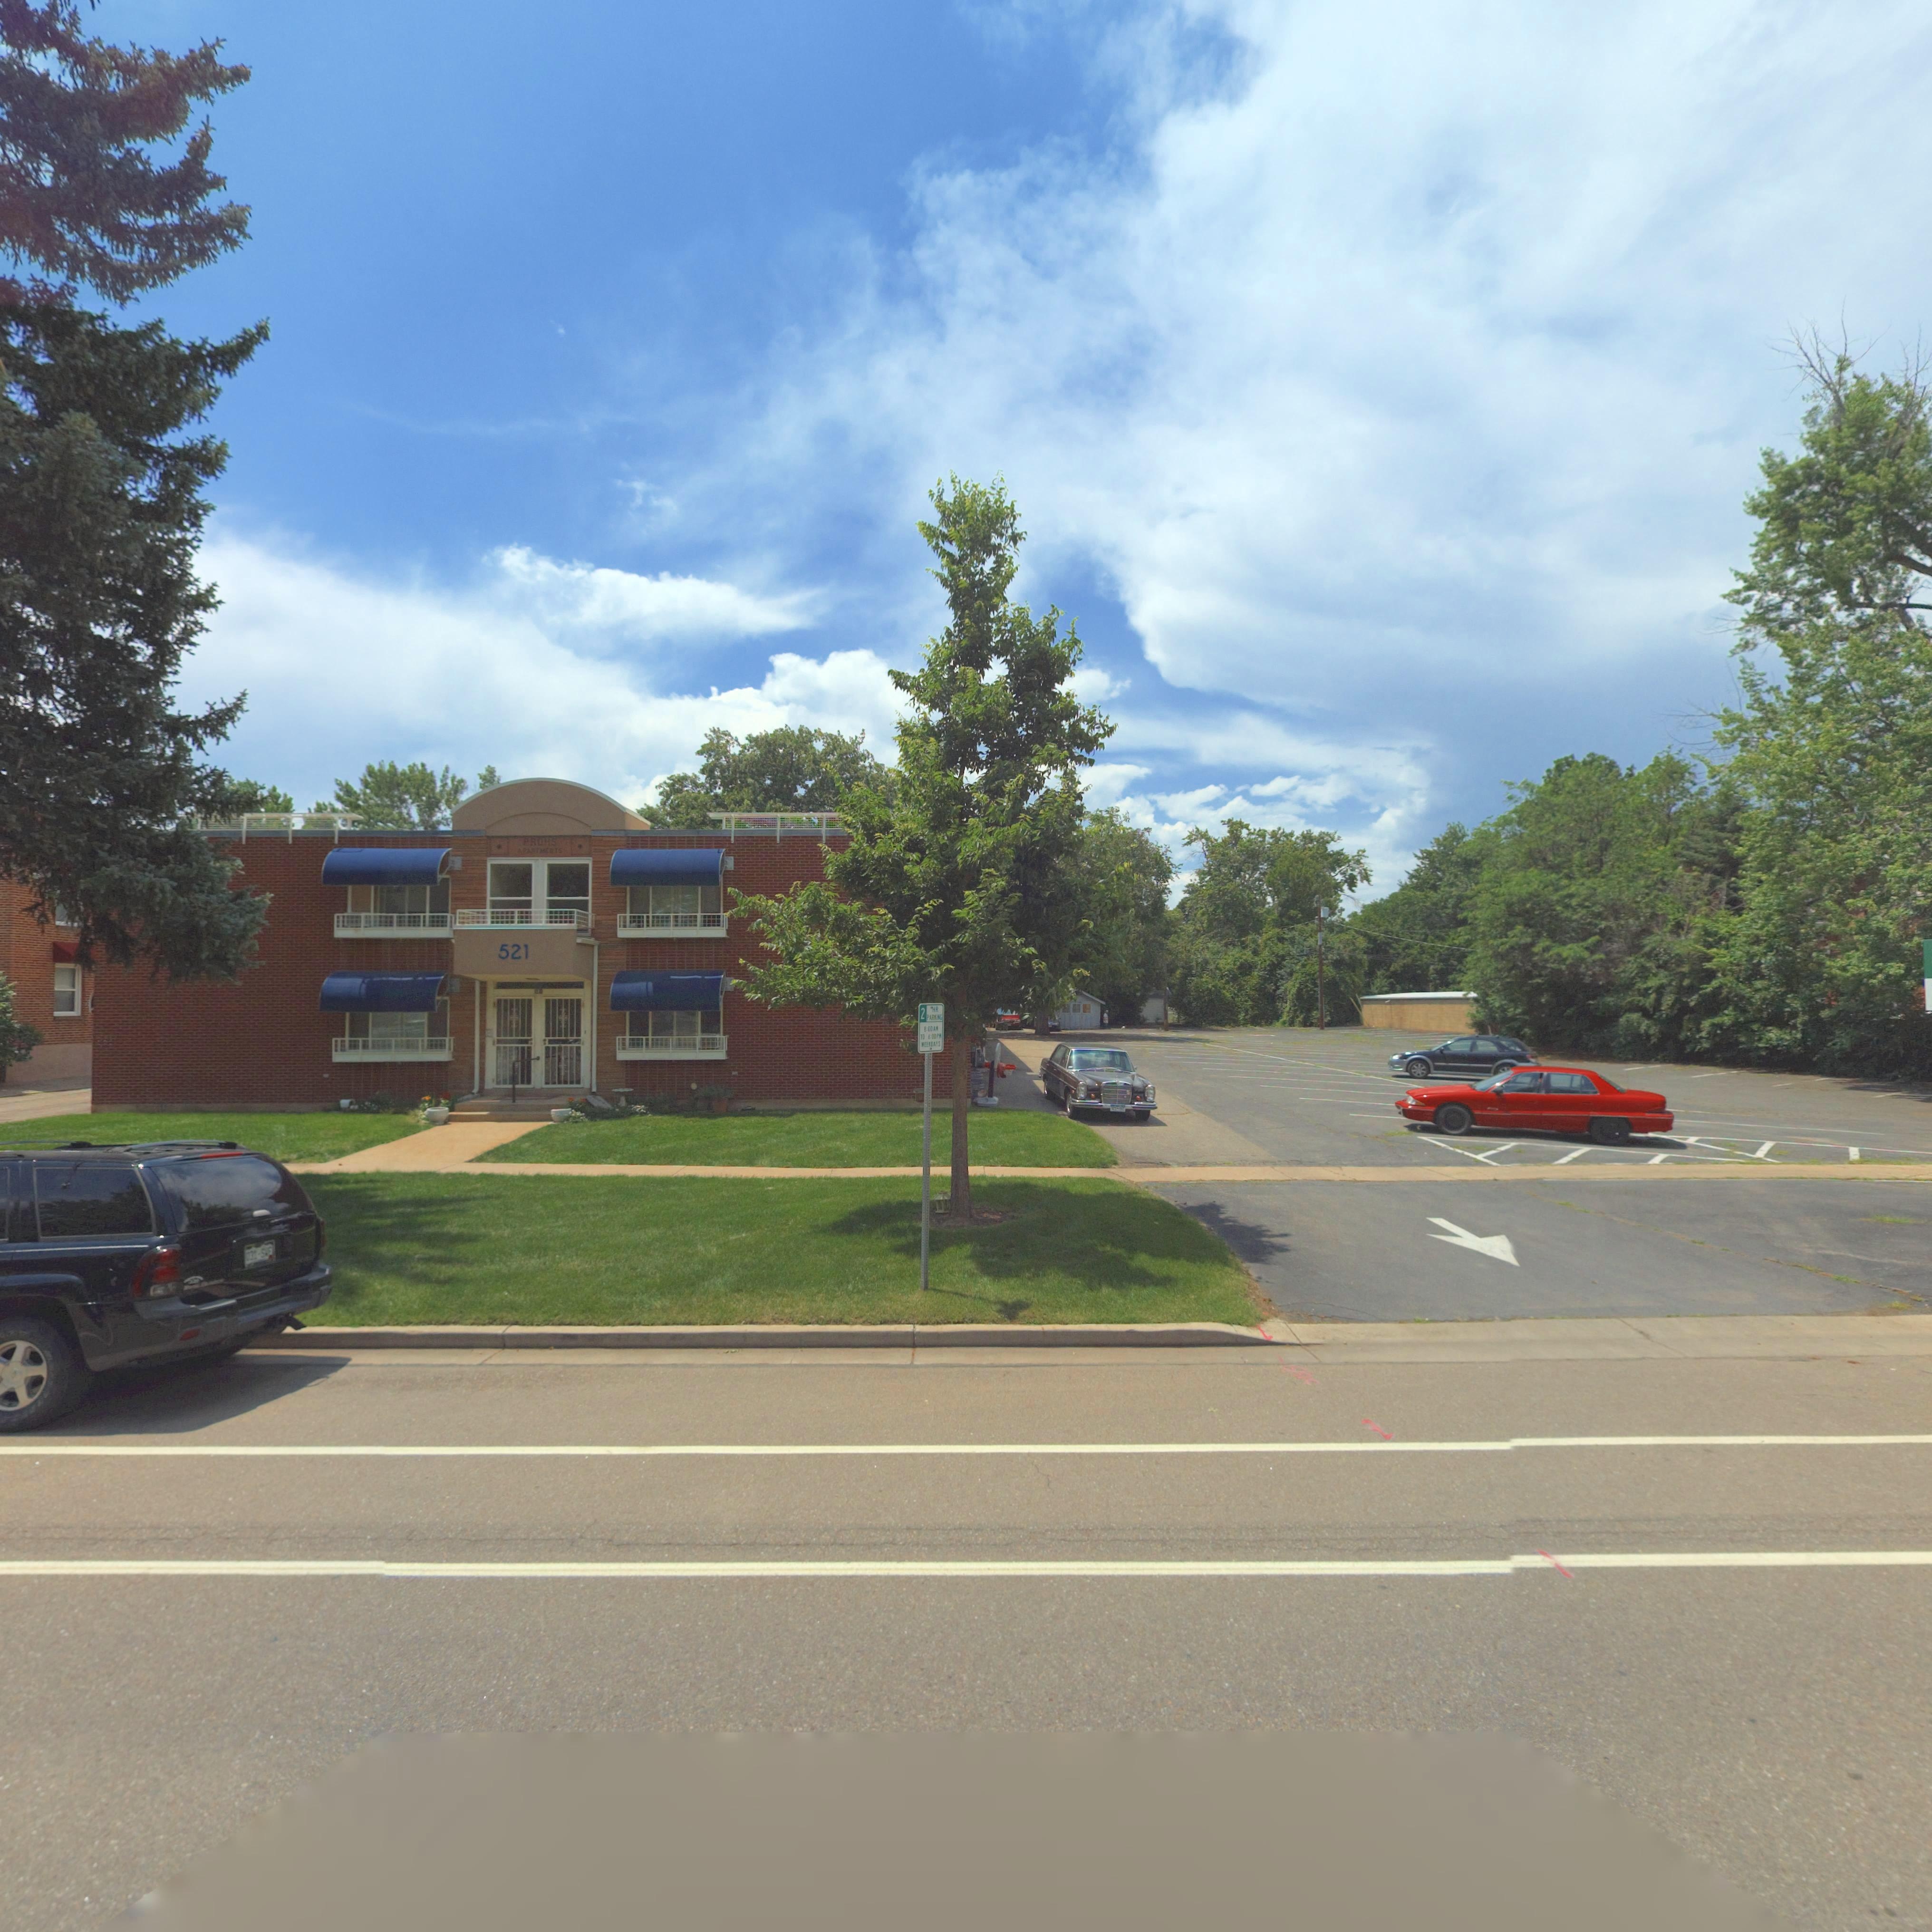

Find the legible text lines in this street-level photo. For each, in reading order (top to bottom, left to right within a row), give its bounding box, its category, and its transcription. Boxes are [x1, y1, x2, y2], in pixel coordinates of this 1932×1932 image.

[497, 943, 528, 959] StreetNumber: 521